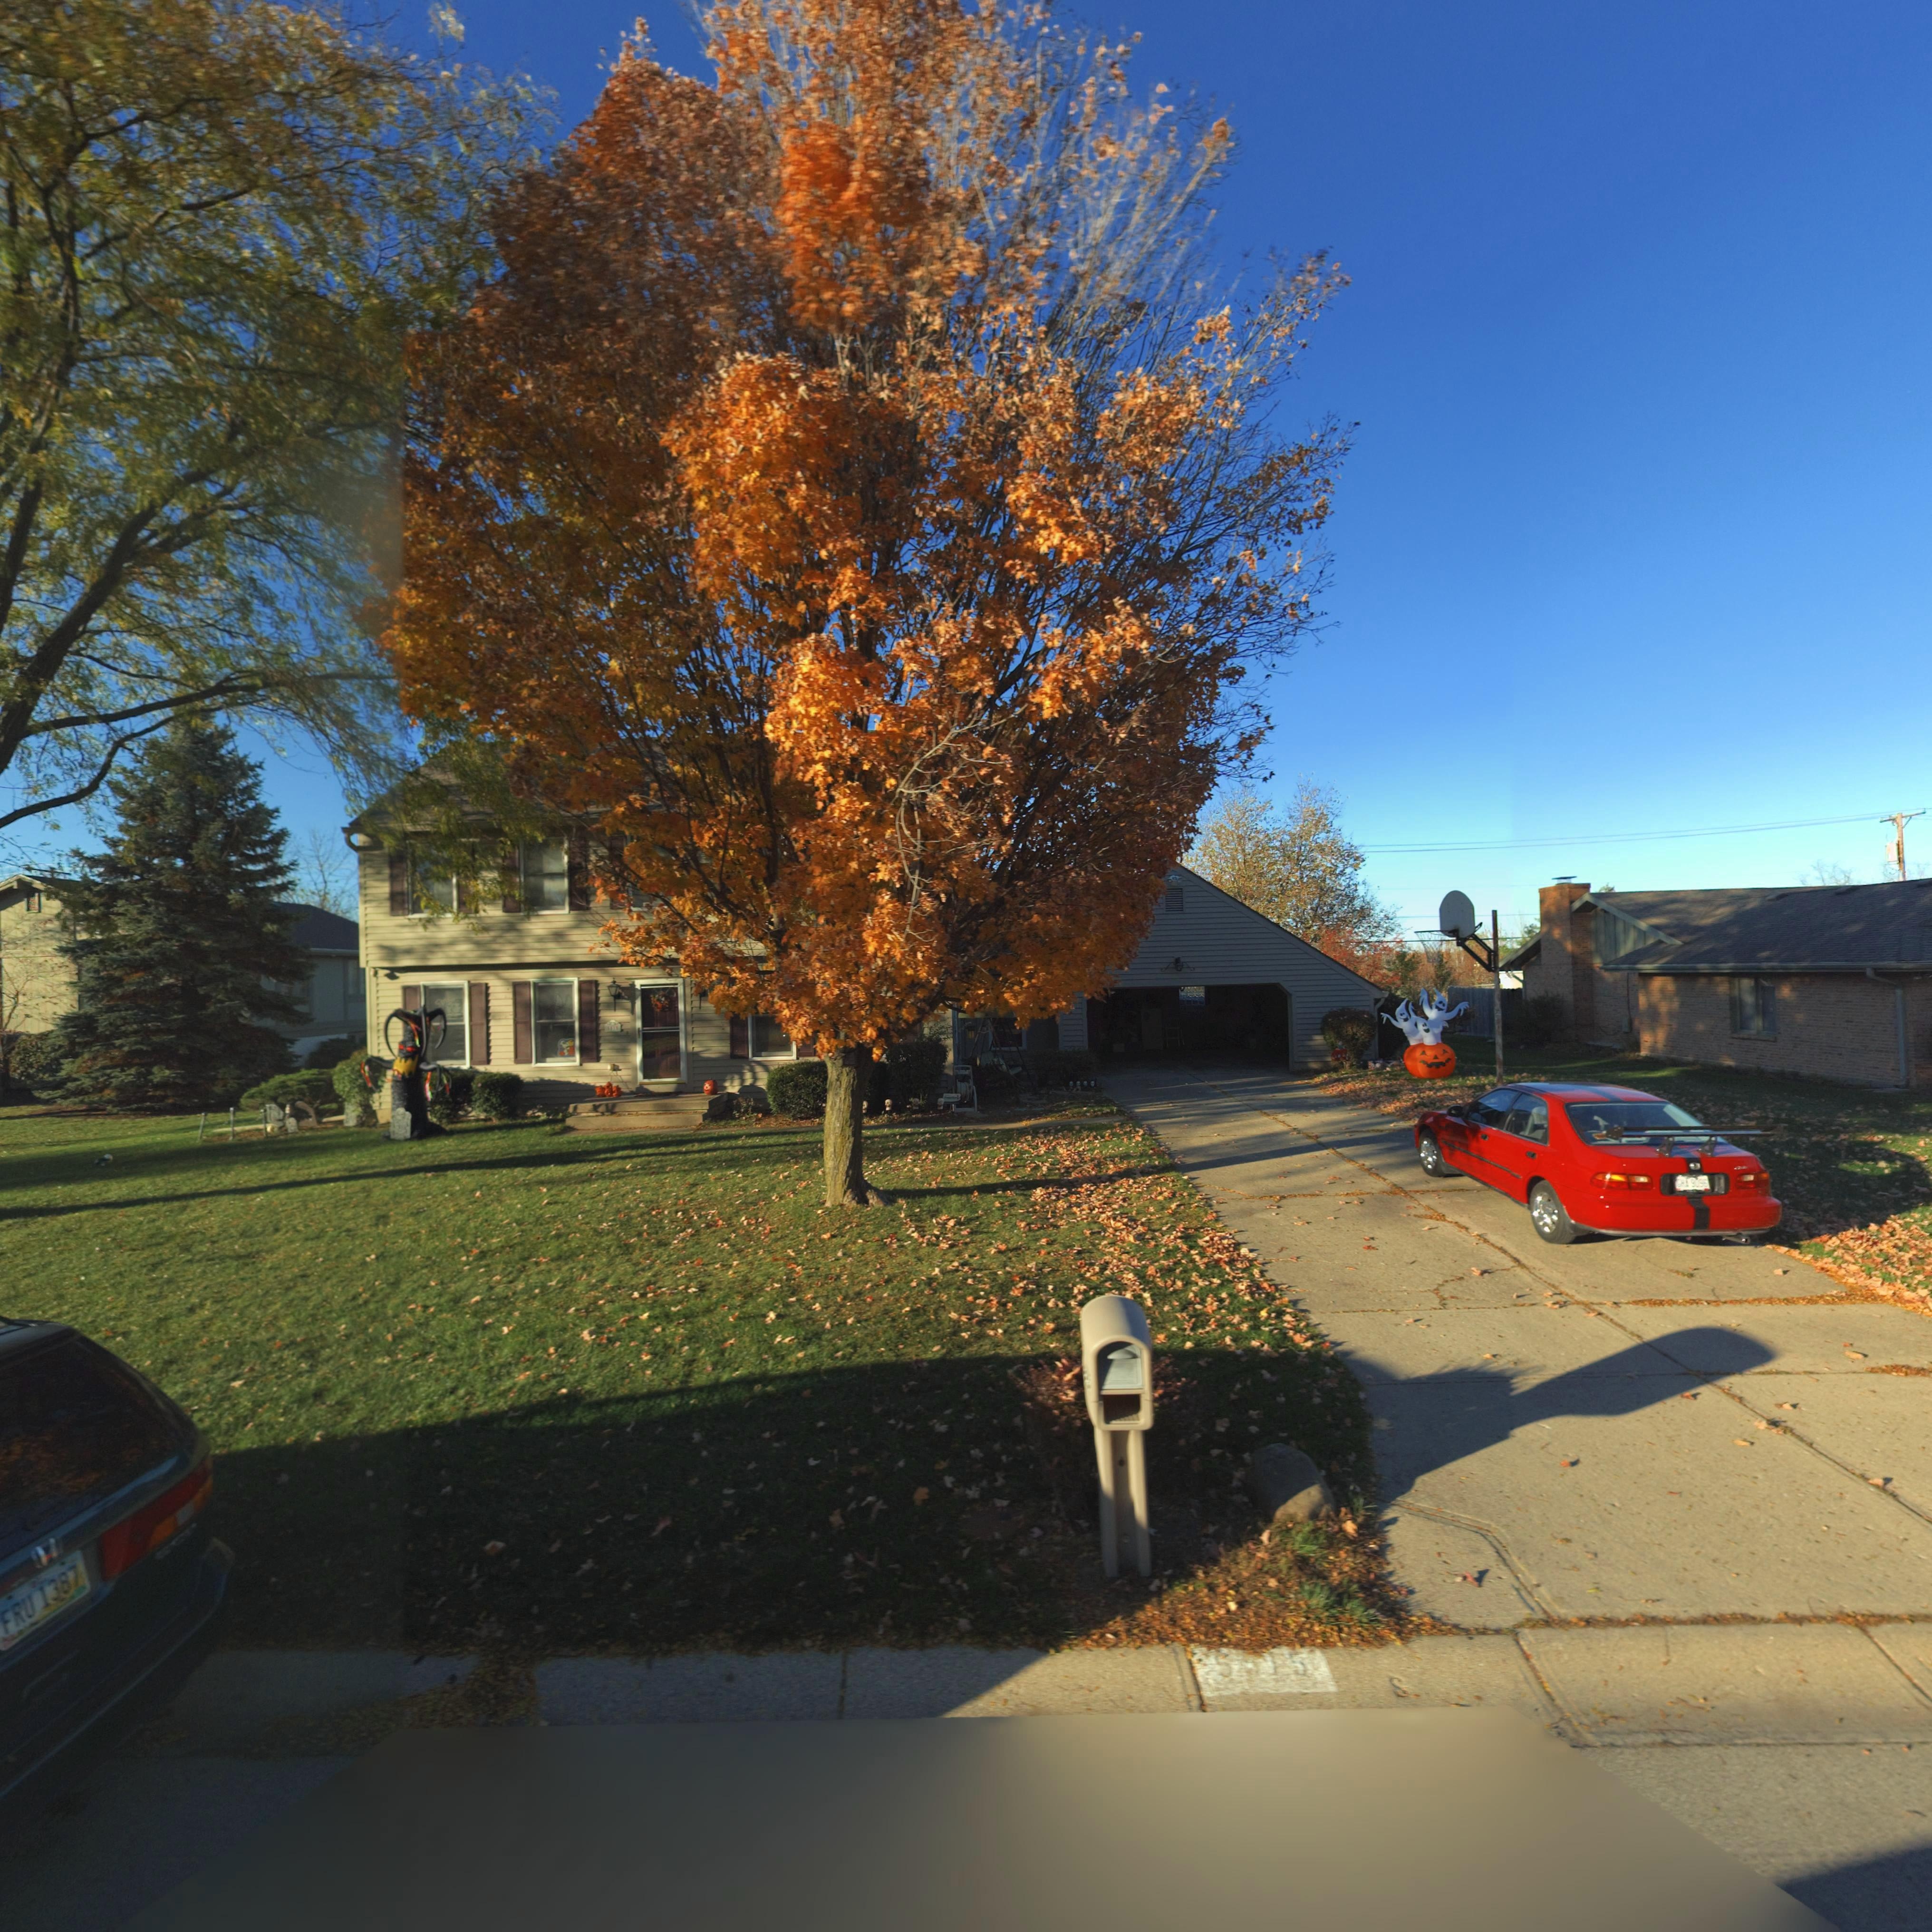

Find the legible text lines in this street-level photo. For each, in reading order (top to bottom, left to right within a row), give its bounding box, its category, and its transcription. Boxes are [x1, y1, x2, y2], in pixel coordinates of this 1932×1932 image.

[1210, 1649, 1311, 1681] StreetNumber: 5*15